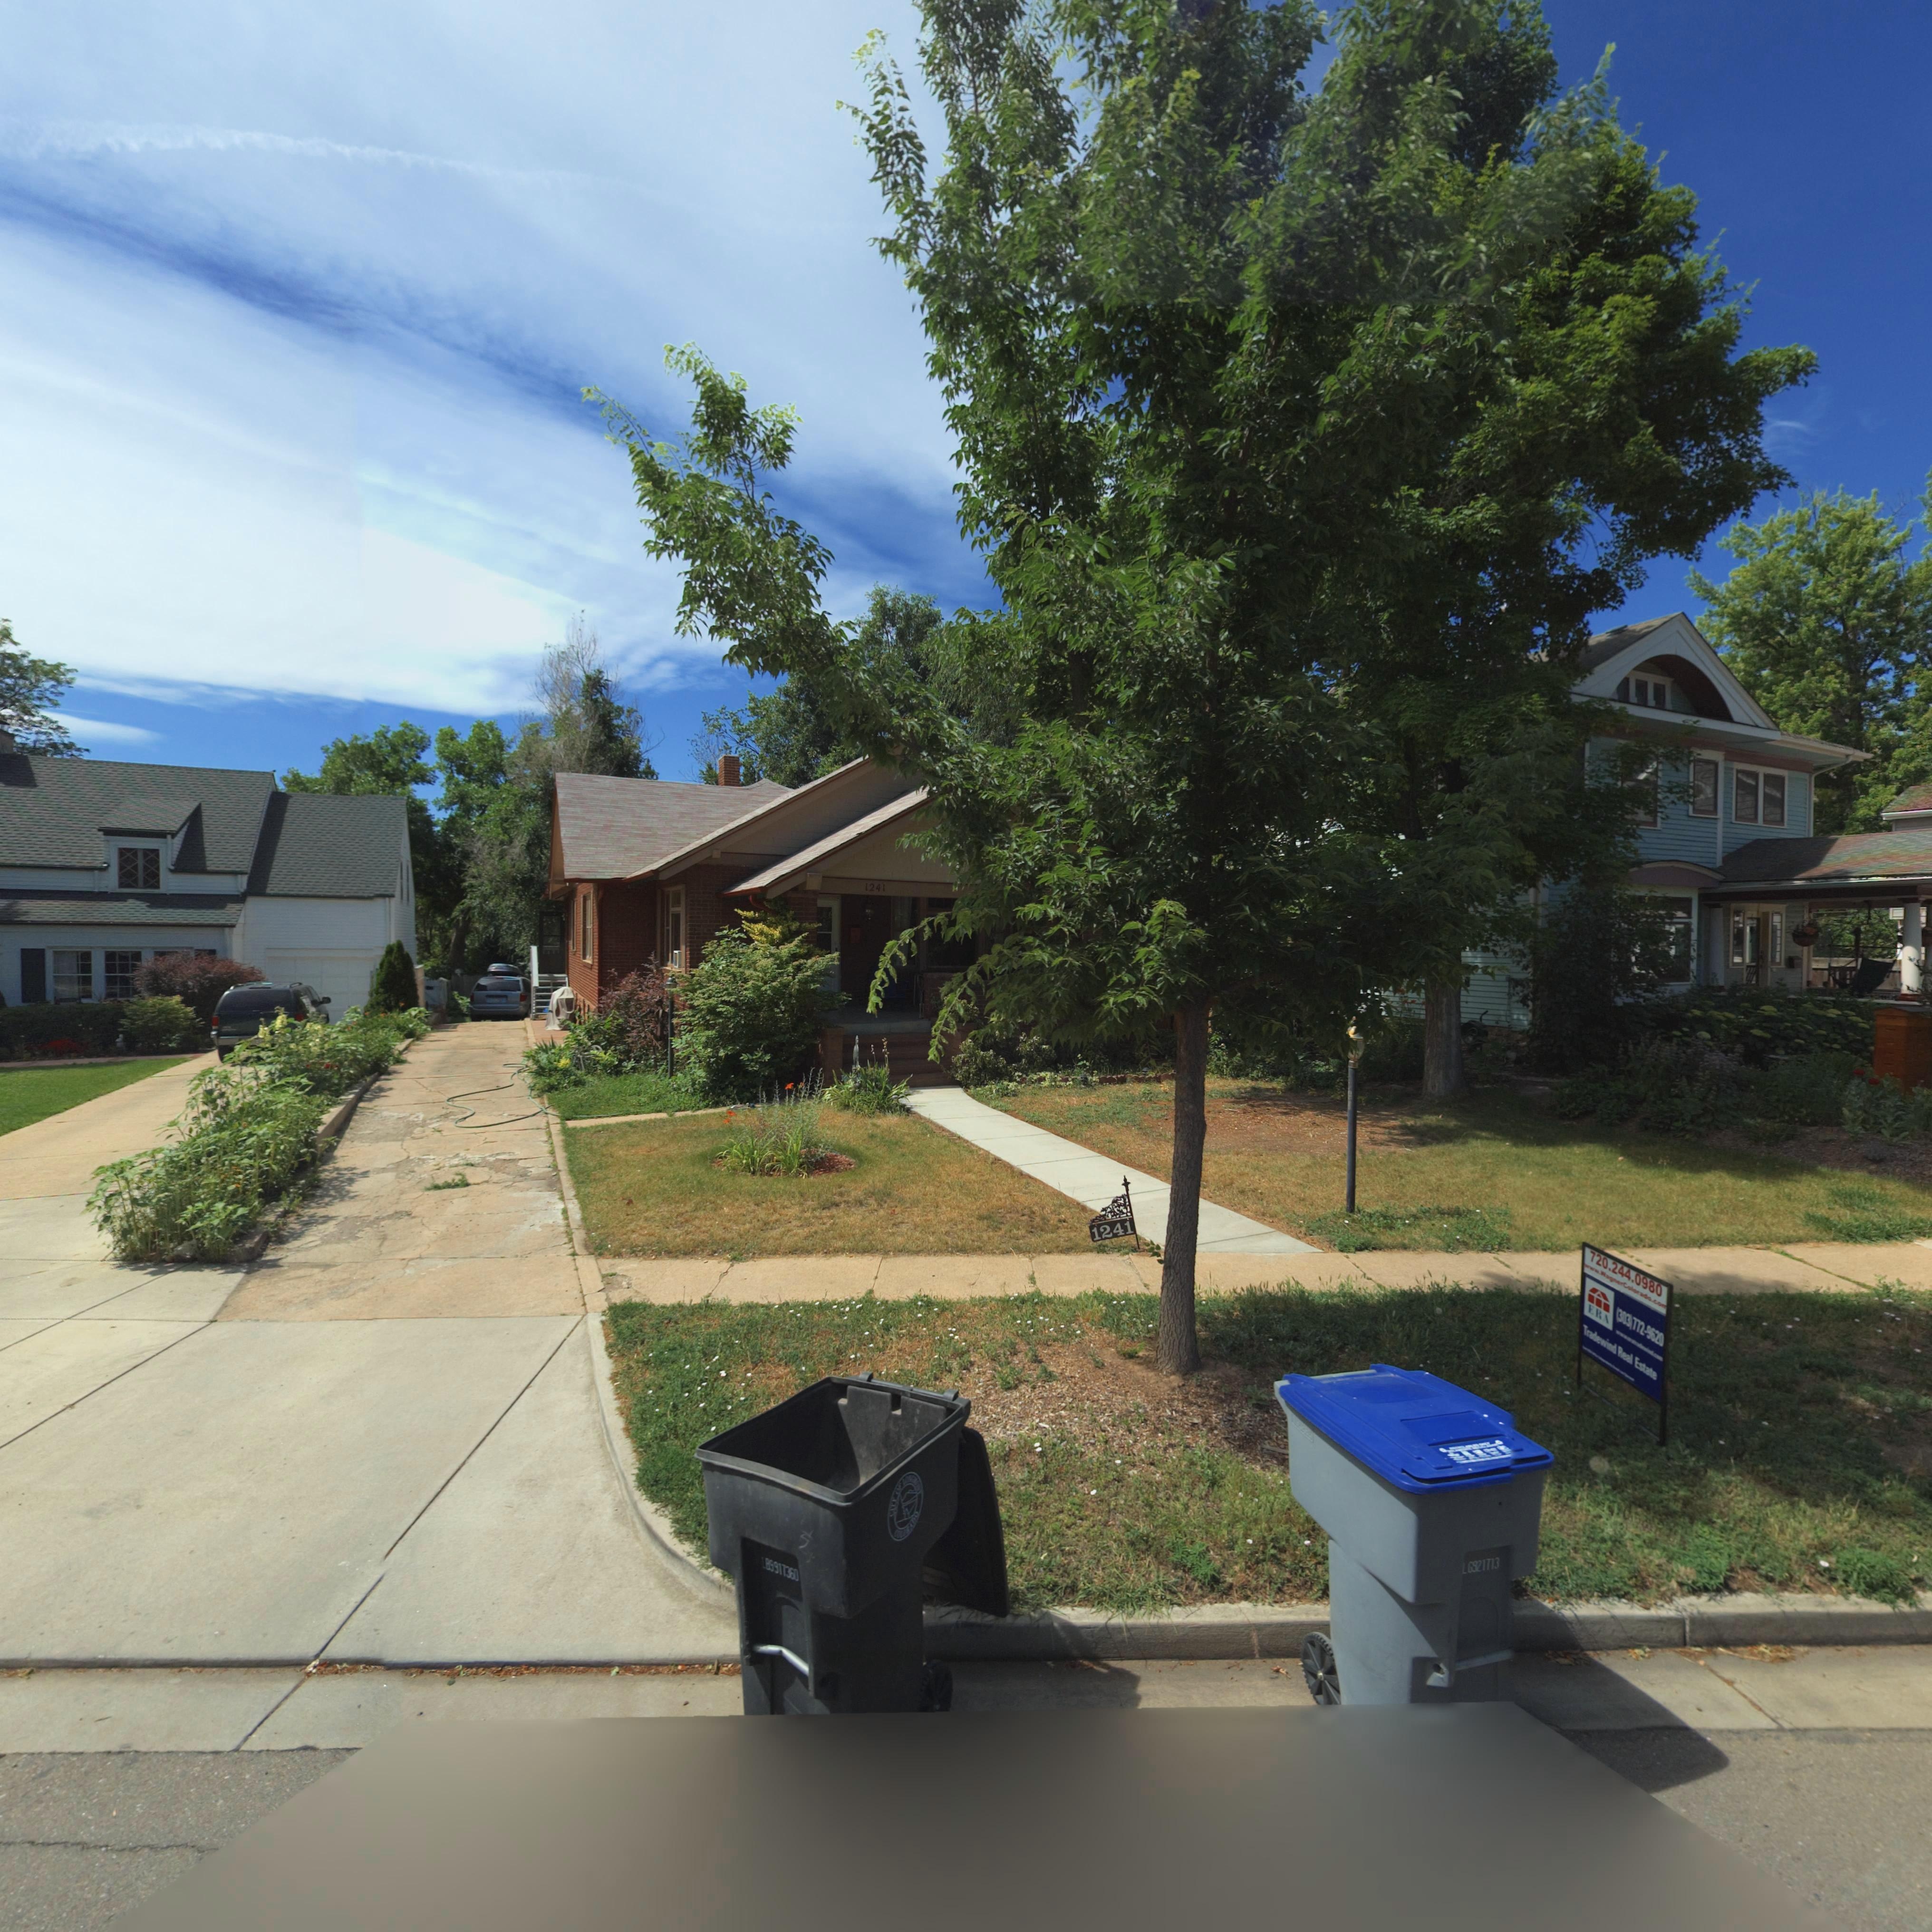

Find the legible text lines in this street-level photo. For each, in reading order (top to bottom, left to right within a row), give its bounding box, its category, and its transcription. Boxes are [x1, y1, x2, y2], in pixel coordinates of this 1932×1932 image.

[865, 883, 885, 892] StreetNumber: 1241
[1091, 1220, 1133, 1241] StreetNumber: 1241